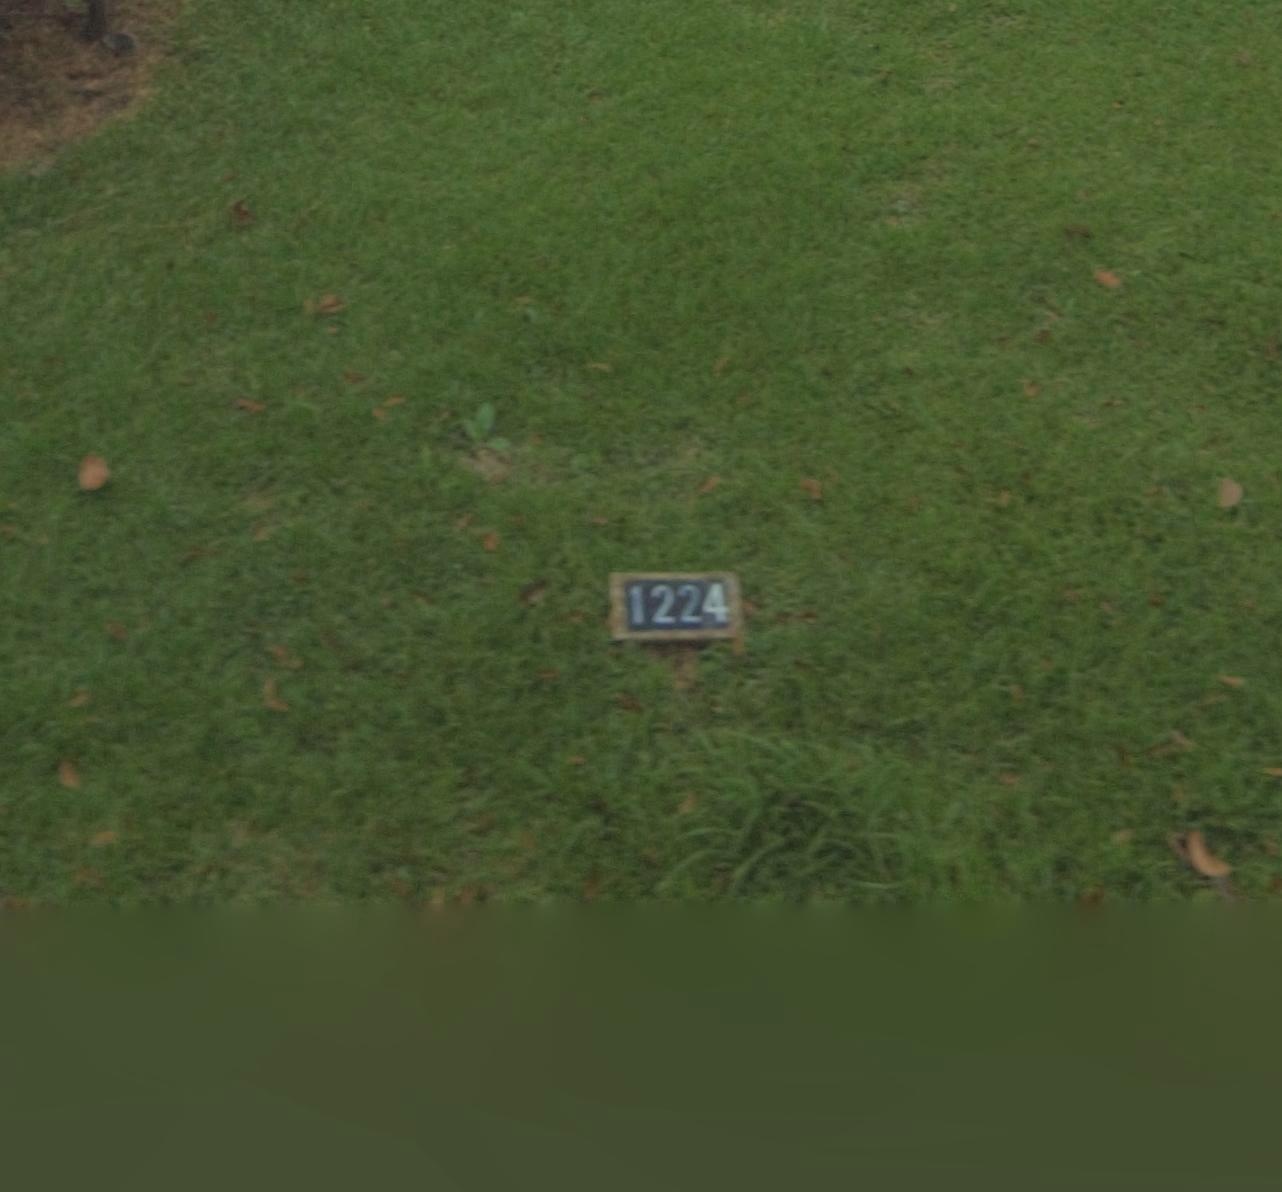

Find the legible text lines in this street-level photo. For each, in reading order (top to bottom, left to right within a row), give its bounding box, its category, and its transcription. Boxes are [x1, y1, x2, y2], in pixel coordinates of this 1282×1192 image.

[623, 581, 730, 625] StreetNumber: 1224